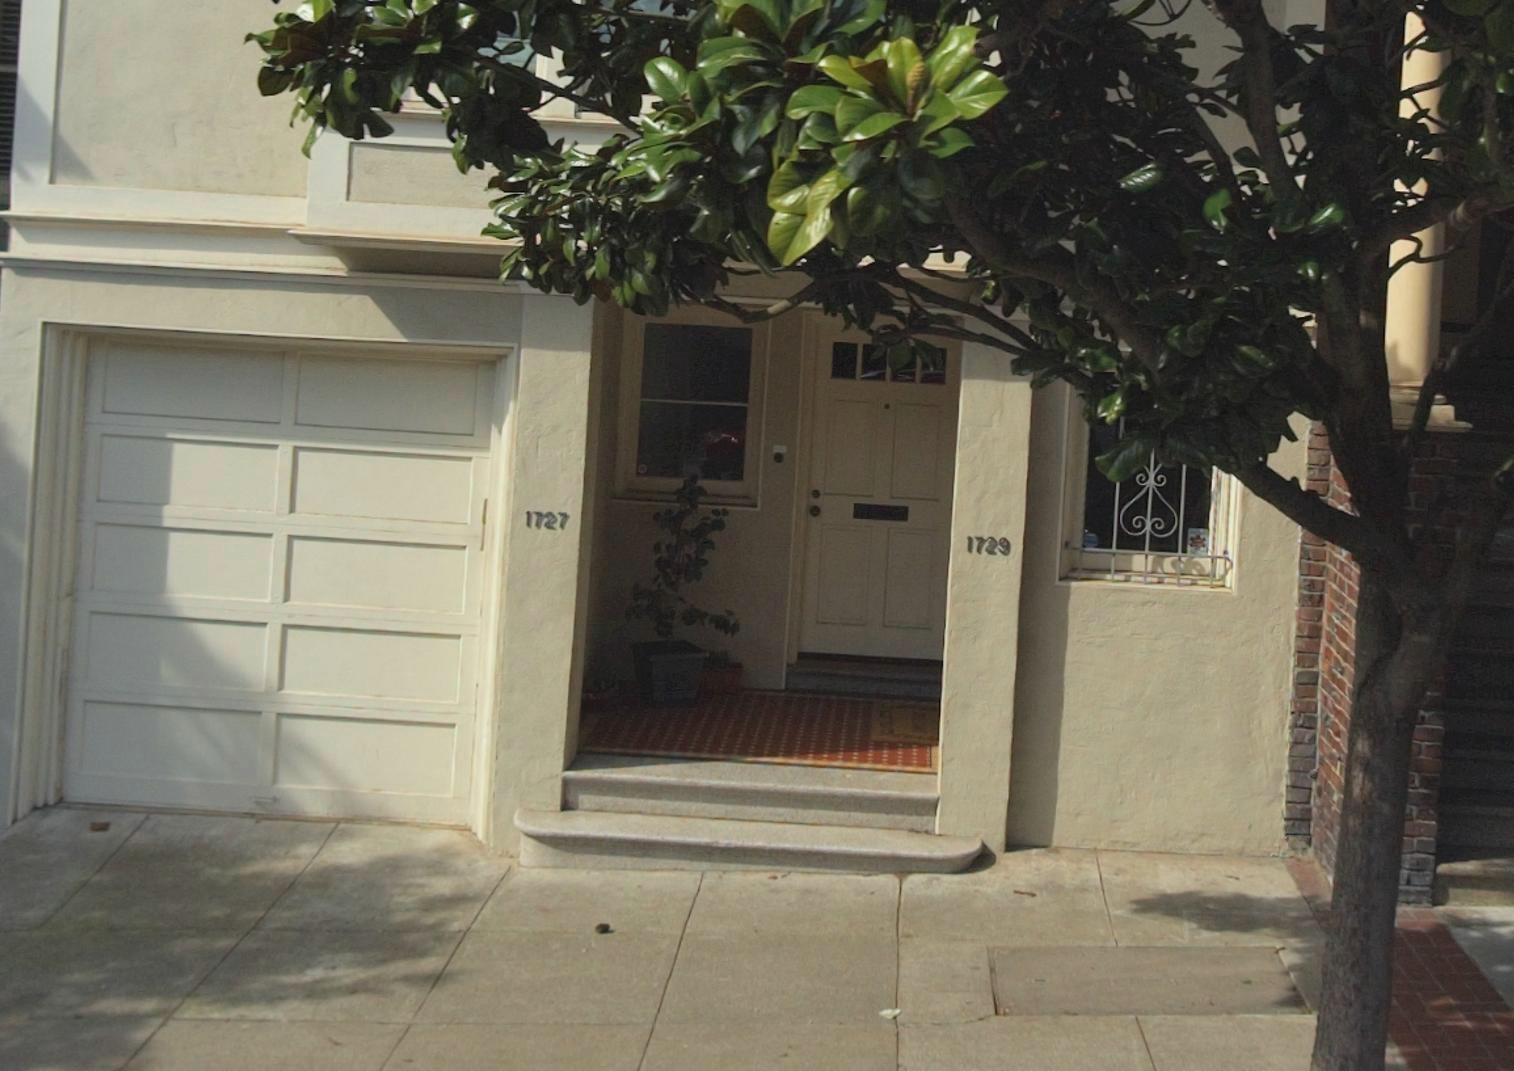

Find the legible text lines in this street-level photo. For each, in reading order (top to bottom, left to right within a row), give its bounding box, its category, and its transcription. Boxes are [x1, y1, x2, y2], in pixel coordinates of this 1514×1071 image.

[524, 508, 570, 531] StreetNumber: 1727
[965, 533, 1011, 557] StreetNumber: 1729